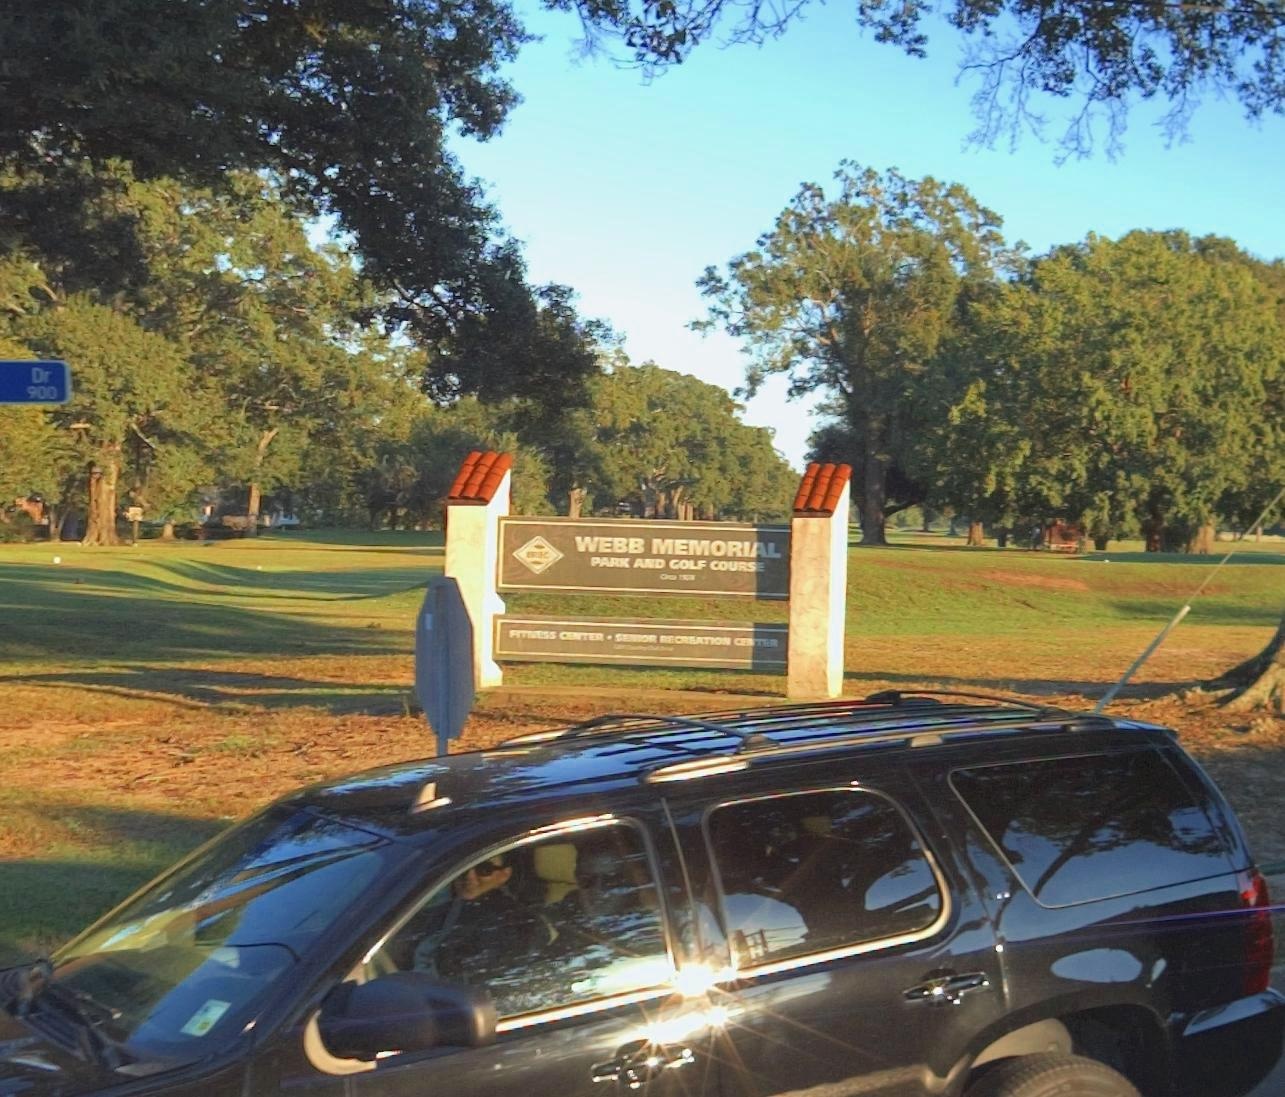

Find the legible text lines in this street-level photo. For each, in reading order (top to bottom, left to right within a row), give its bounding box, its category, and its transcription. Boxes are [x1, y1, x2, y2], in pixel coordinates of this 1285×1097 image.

[30, 365, 56, 385] StreetName: Dr
[25, 384, 59, 401] StreetNumberRange: 900
[574, 534, 783, 560] BusinessName: WEBB MEMORIAL
[590, 555, 767, 573] BusinessName: PARK AND GOLF COURSE
[507, 628, 779, 649] None: FITNESS CENTER - SENIOR RECREATION CENTER